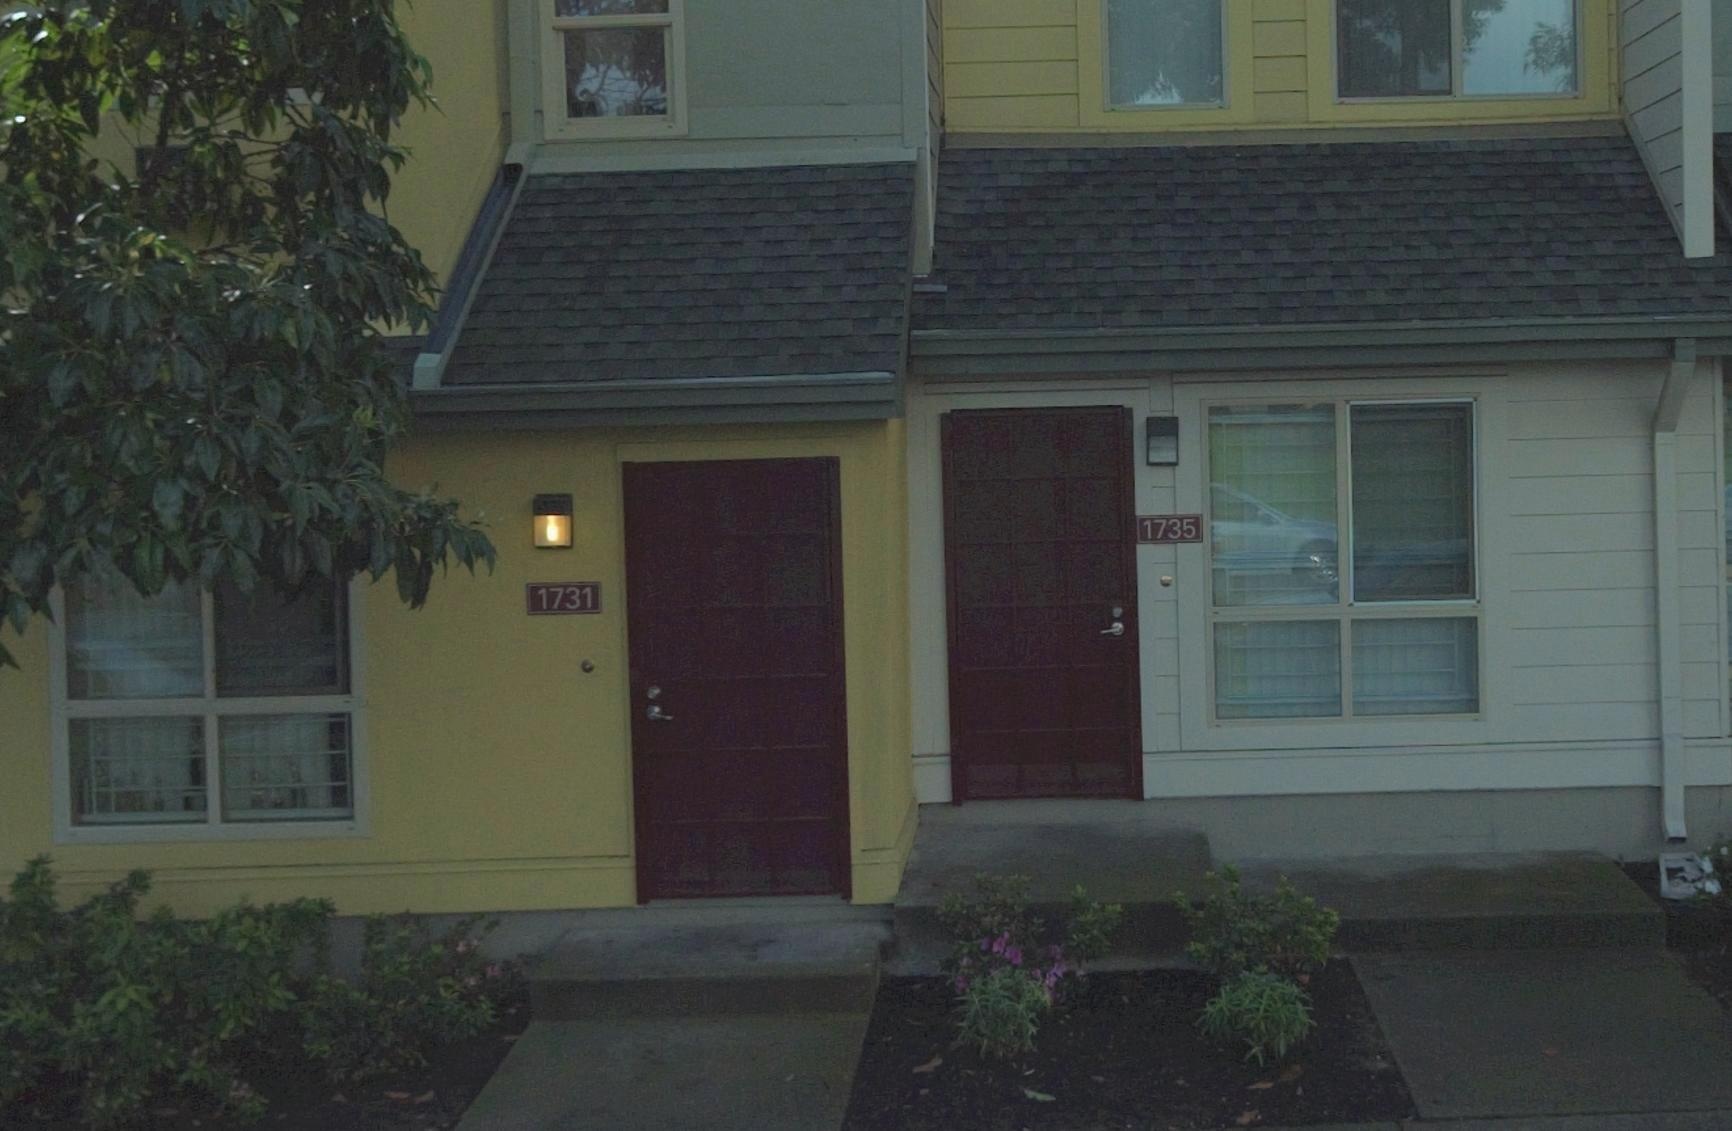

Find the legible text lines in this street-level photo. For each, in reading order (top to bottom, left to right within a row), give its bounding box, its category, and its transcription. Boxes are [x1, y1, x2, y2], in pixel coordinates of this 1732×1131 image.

[1139, 516, 1198, 542] StreetNumber: 1735
[534, 584, 594, 612] StreetNumber: 1731